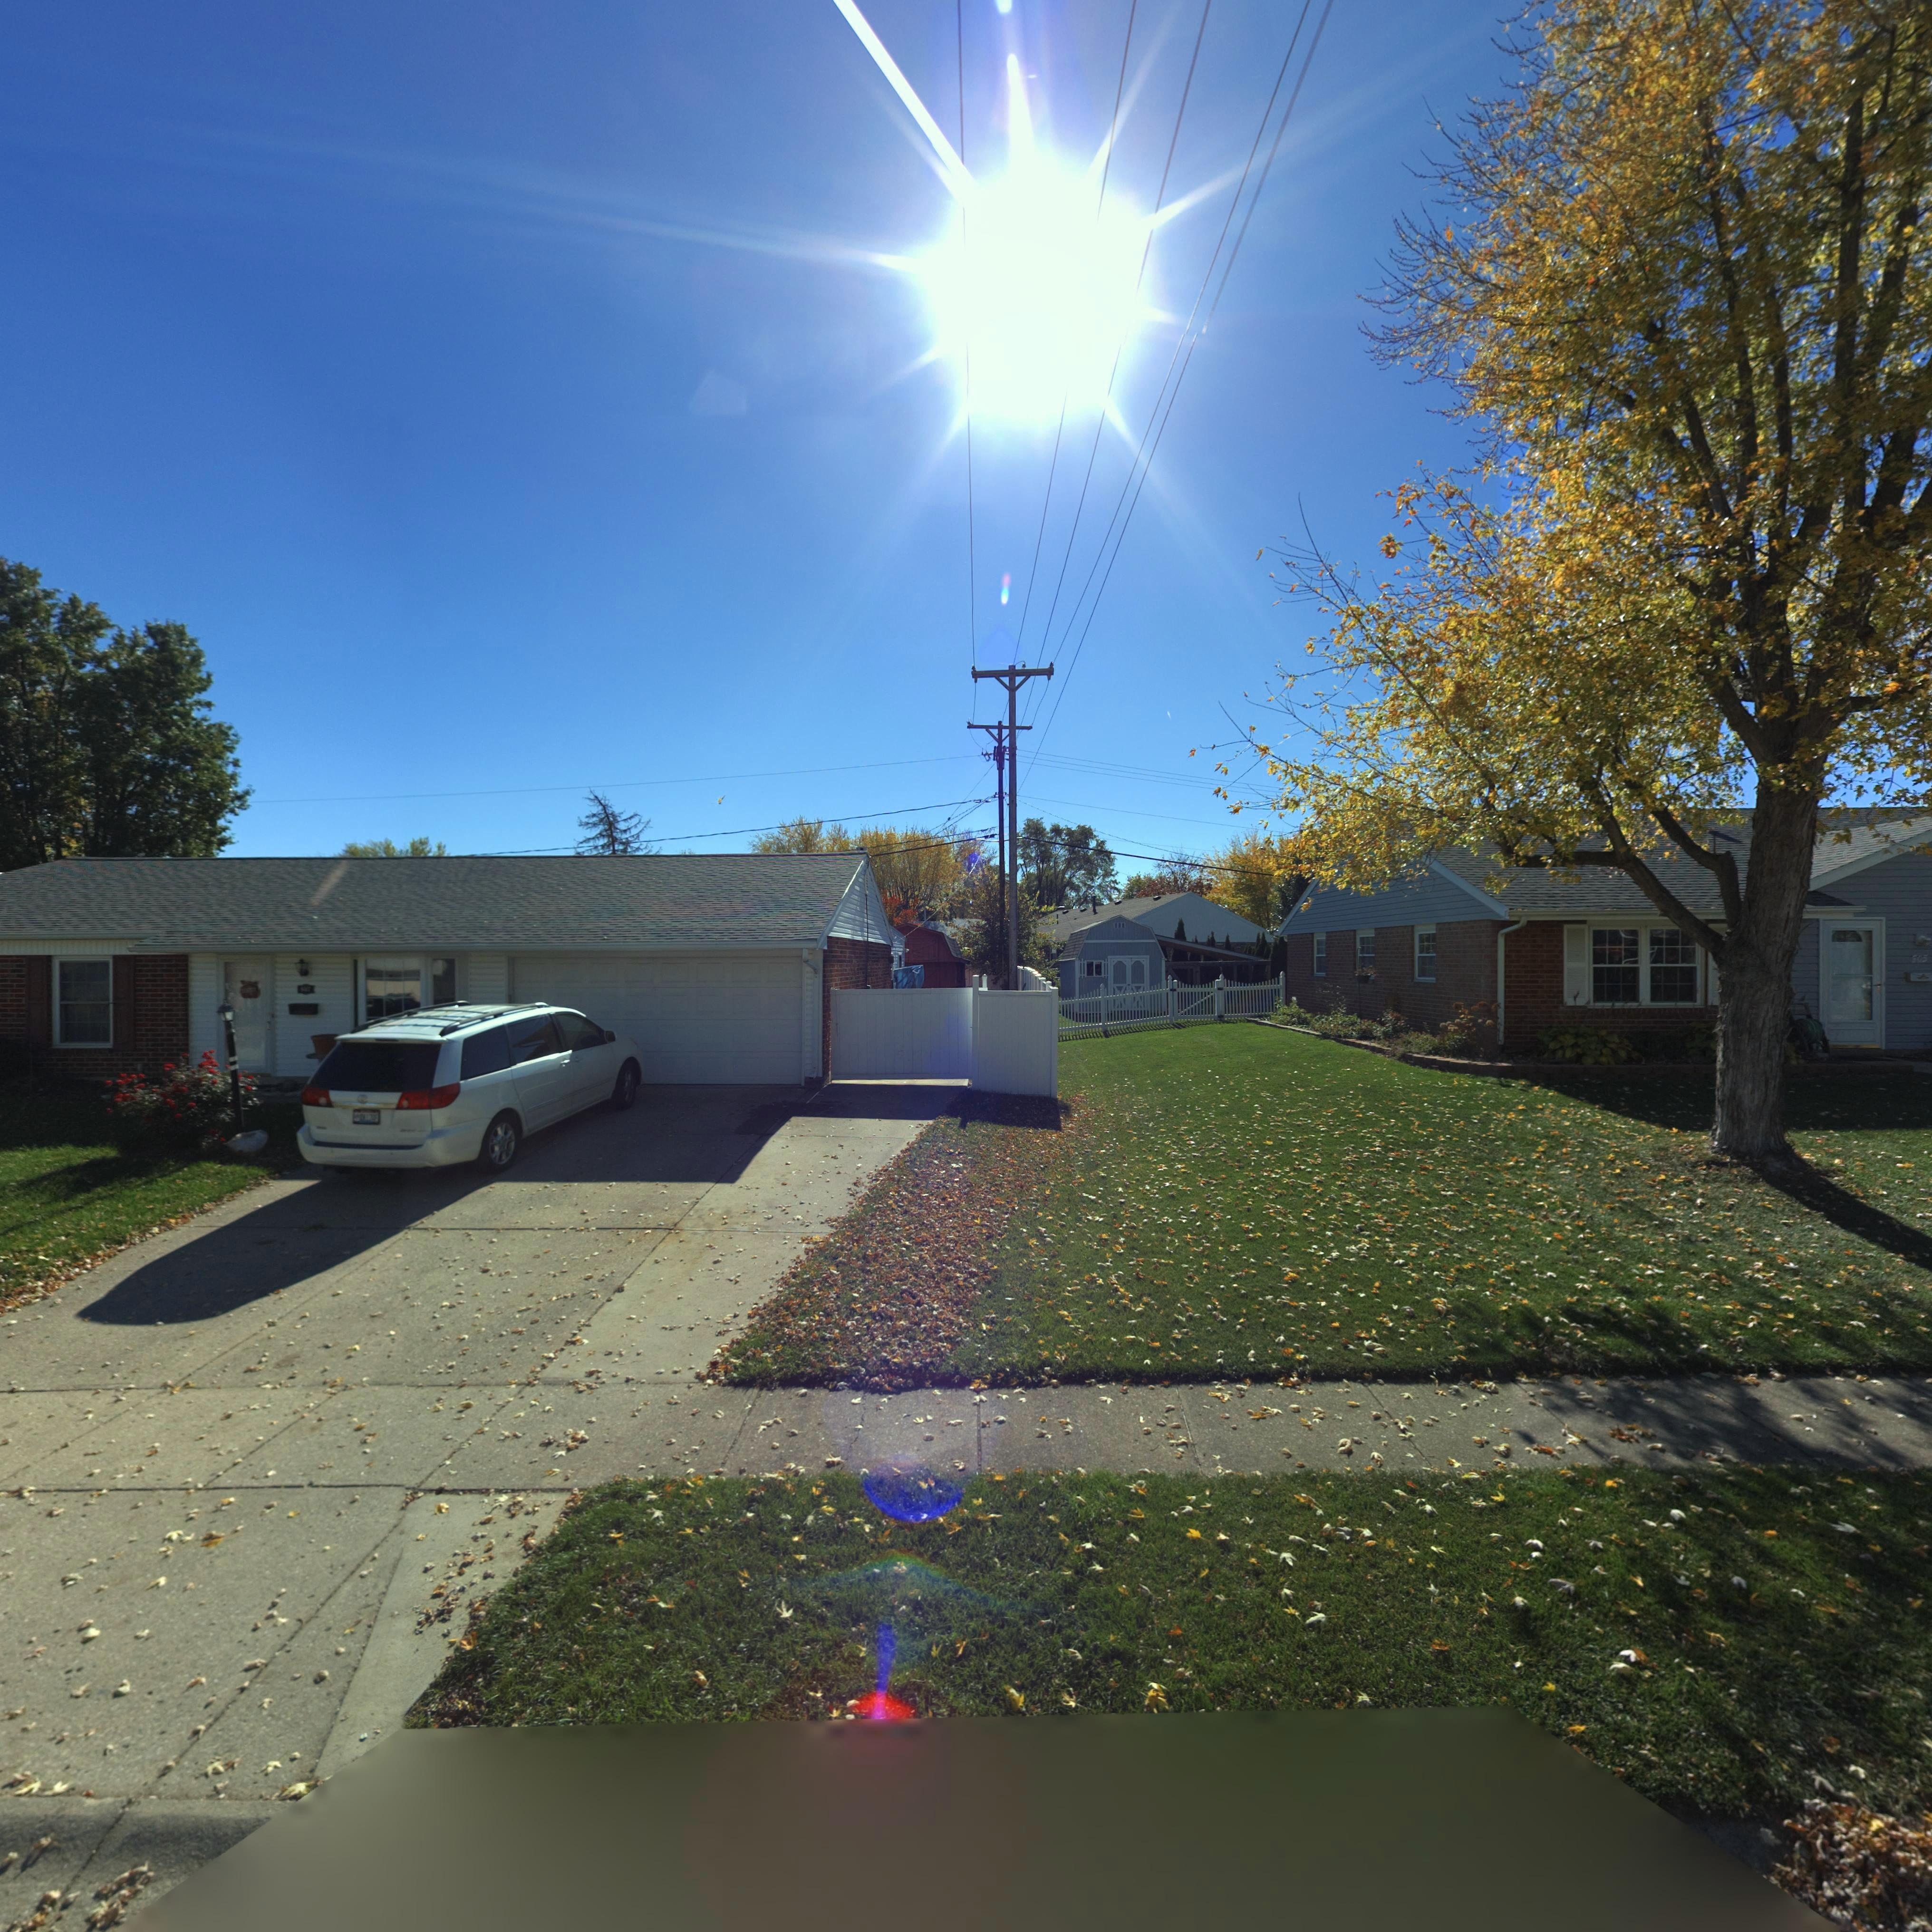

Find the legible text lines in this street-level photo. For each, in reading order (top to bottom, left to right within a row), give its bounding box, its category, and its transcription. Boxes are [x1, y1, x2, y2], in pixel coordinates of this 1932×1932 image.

[1911, 954, 1929, 963] StreetNumber: 805
[300, 986, 311, 993] StreetNumber: 8**